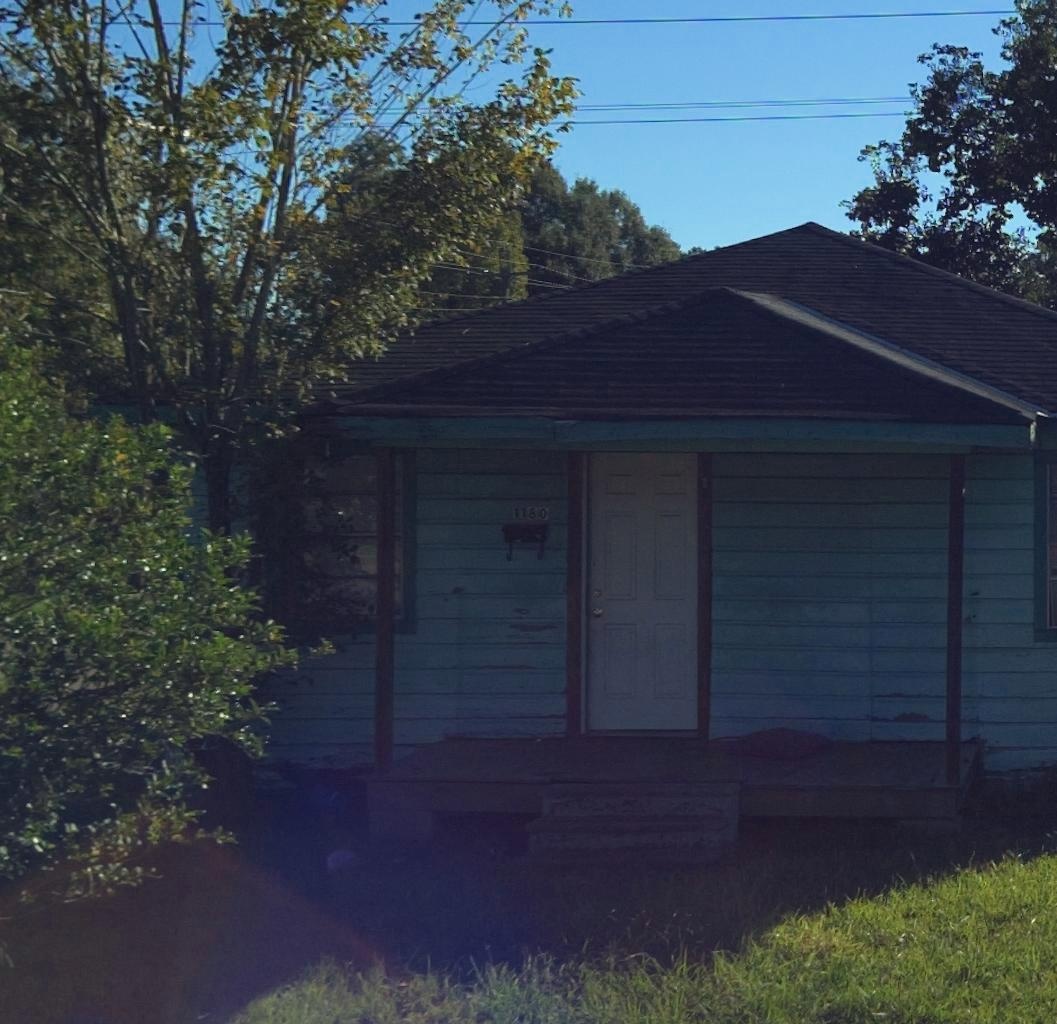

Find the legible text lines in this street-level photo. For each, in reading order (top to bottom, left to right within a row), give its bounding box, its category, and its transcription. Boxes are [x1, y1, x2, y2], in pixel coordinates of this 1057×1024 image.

[513, 506, 548, 521] StreetNumber: 11*0